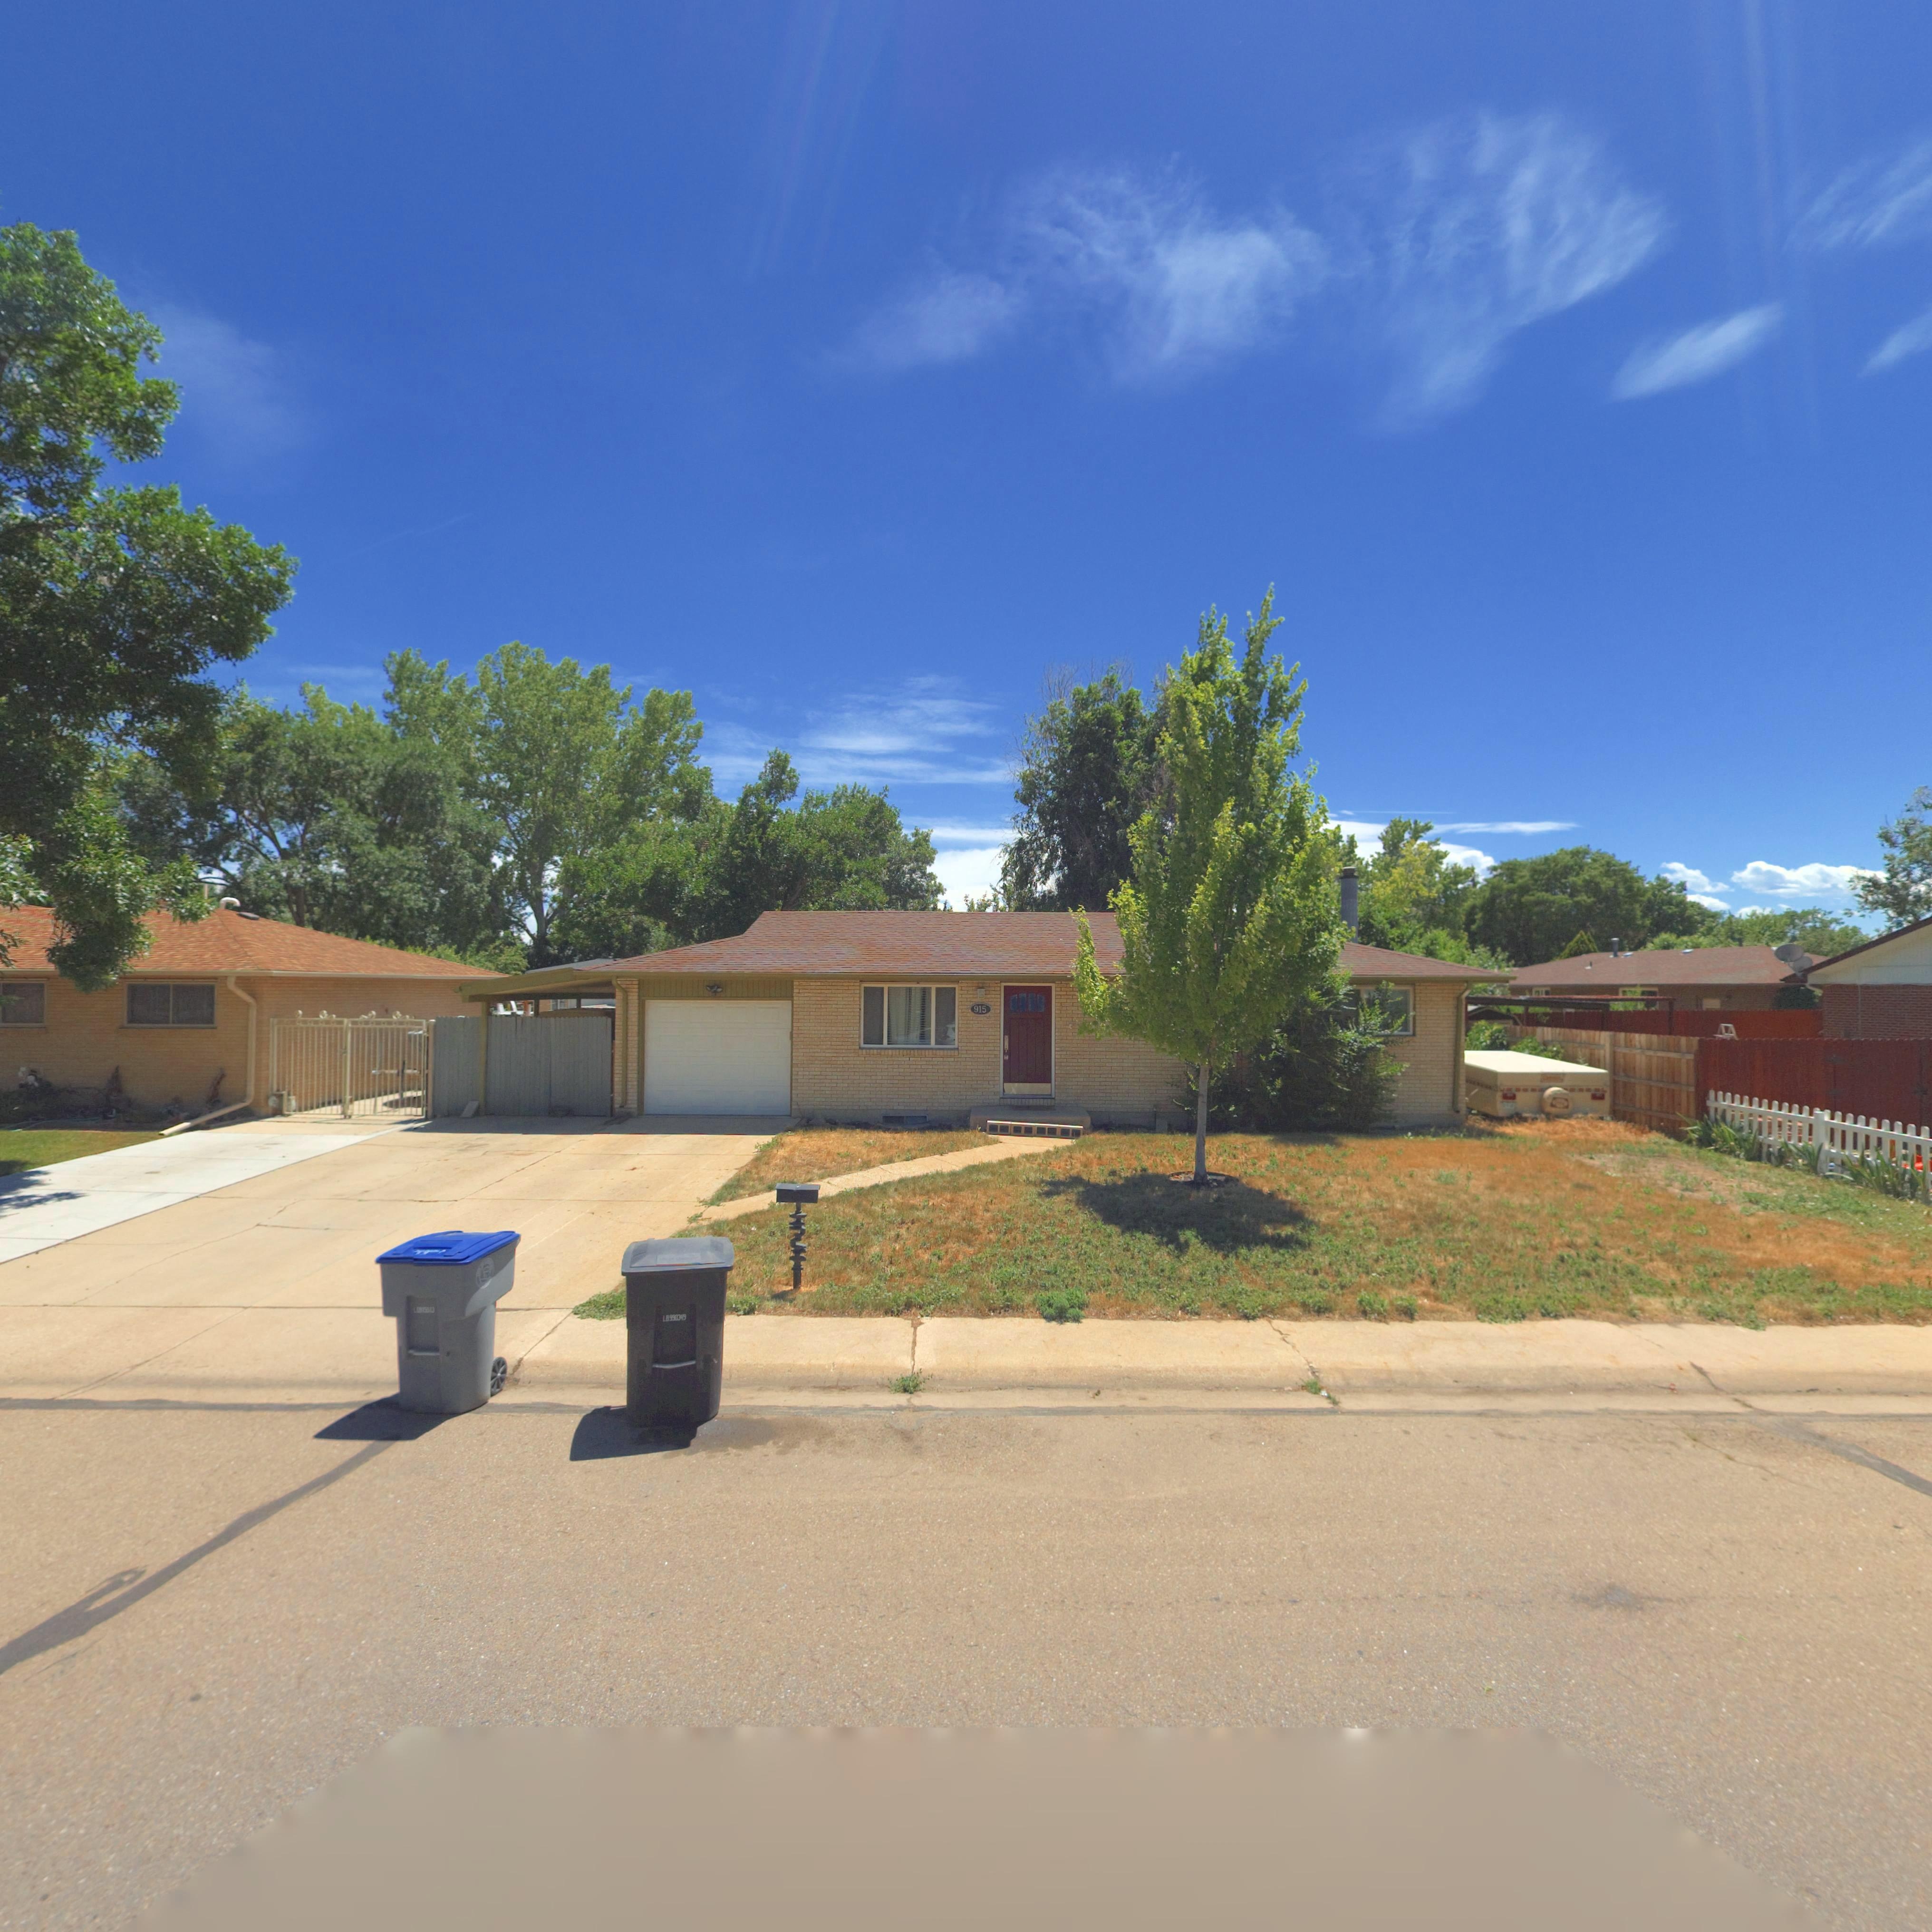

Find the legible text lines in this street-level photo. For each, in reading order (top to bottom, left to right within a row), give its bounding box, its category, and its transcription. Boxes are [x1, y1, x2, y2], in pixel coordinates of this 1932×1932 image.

[973, 1005, 986, 1013] StreetNumber: 915